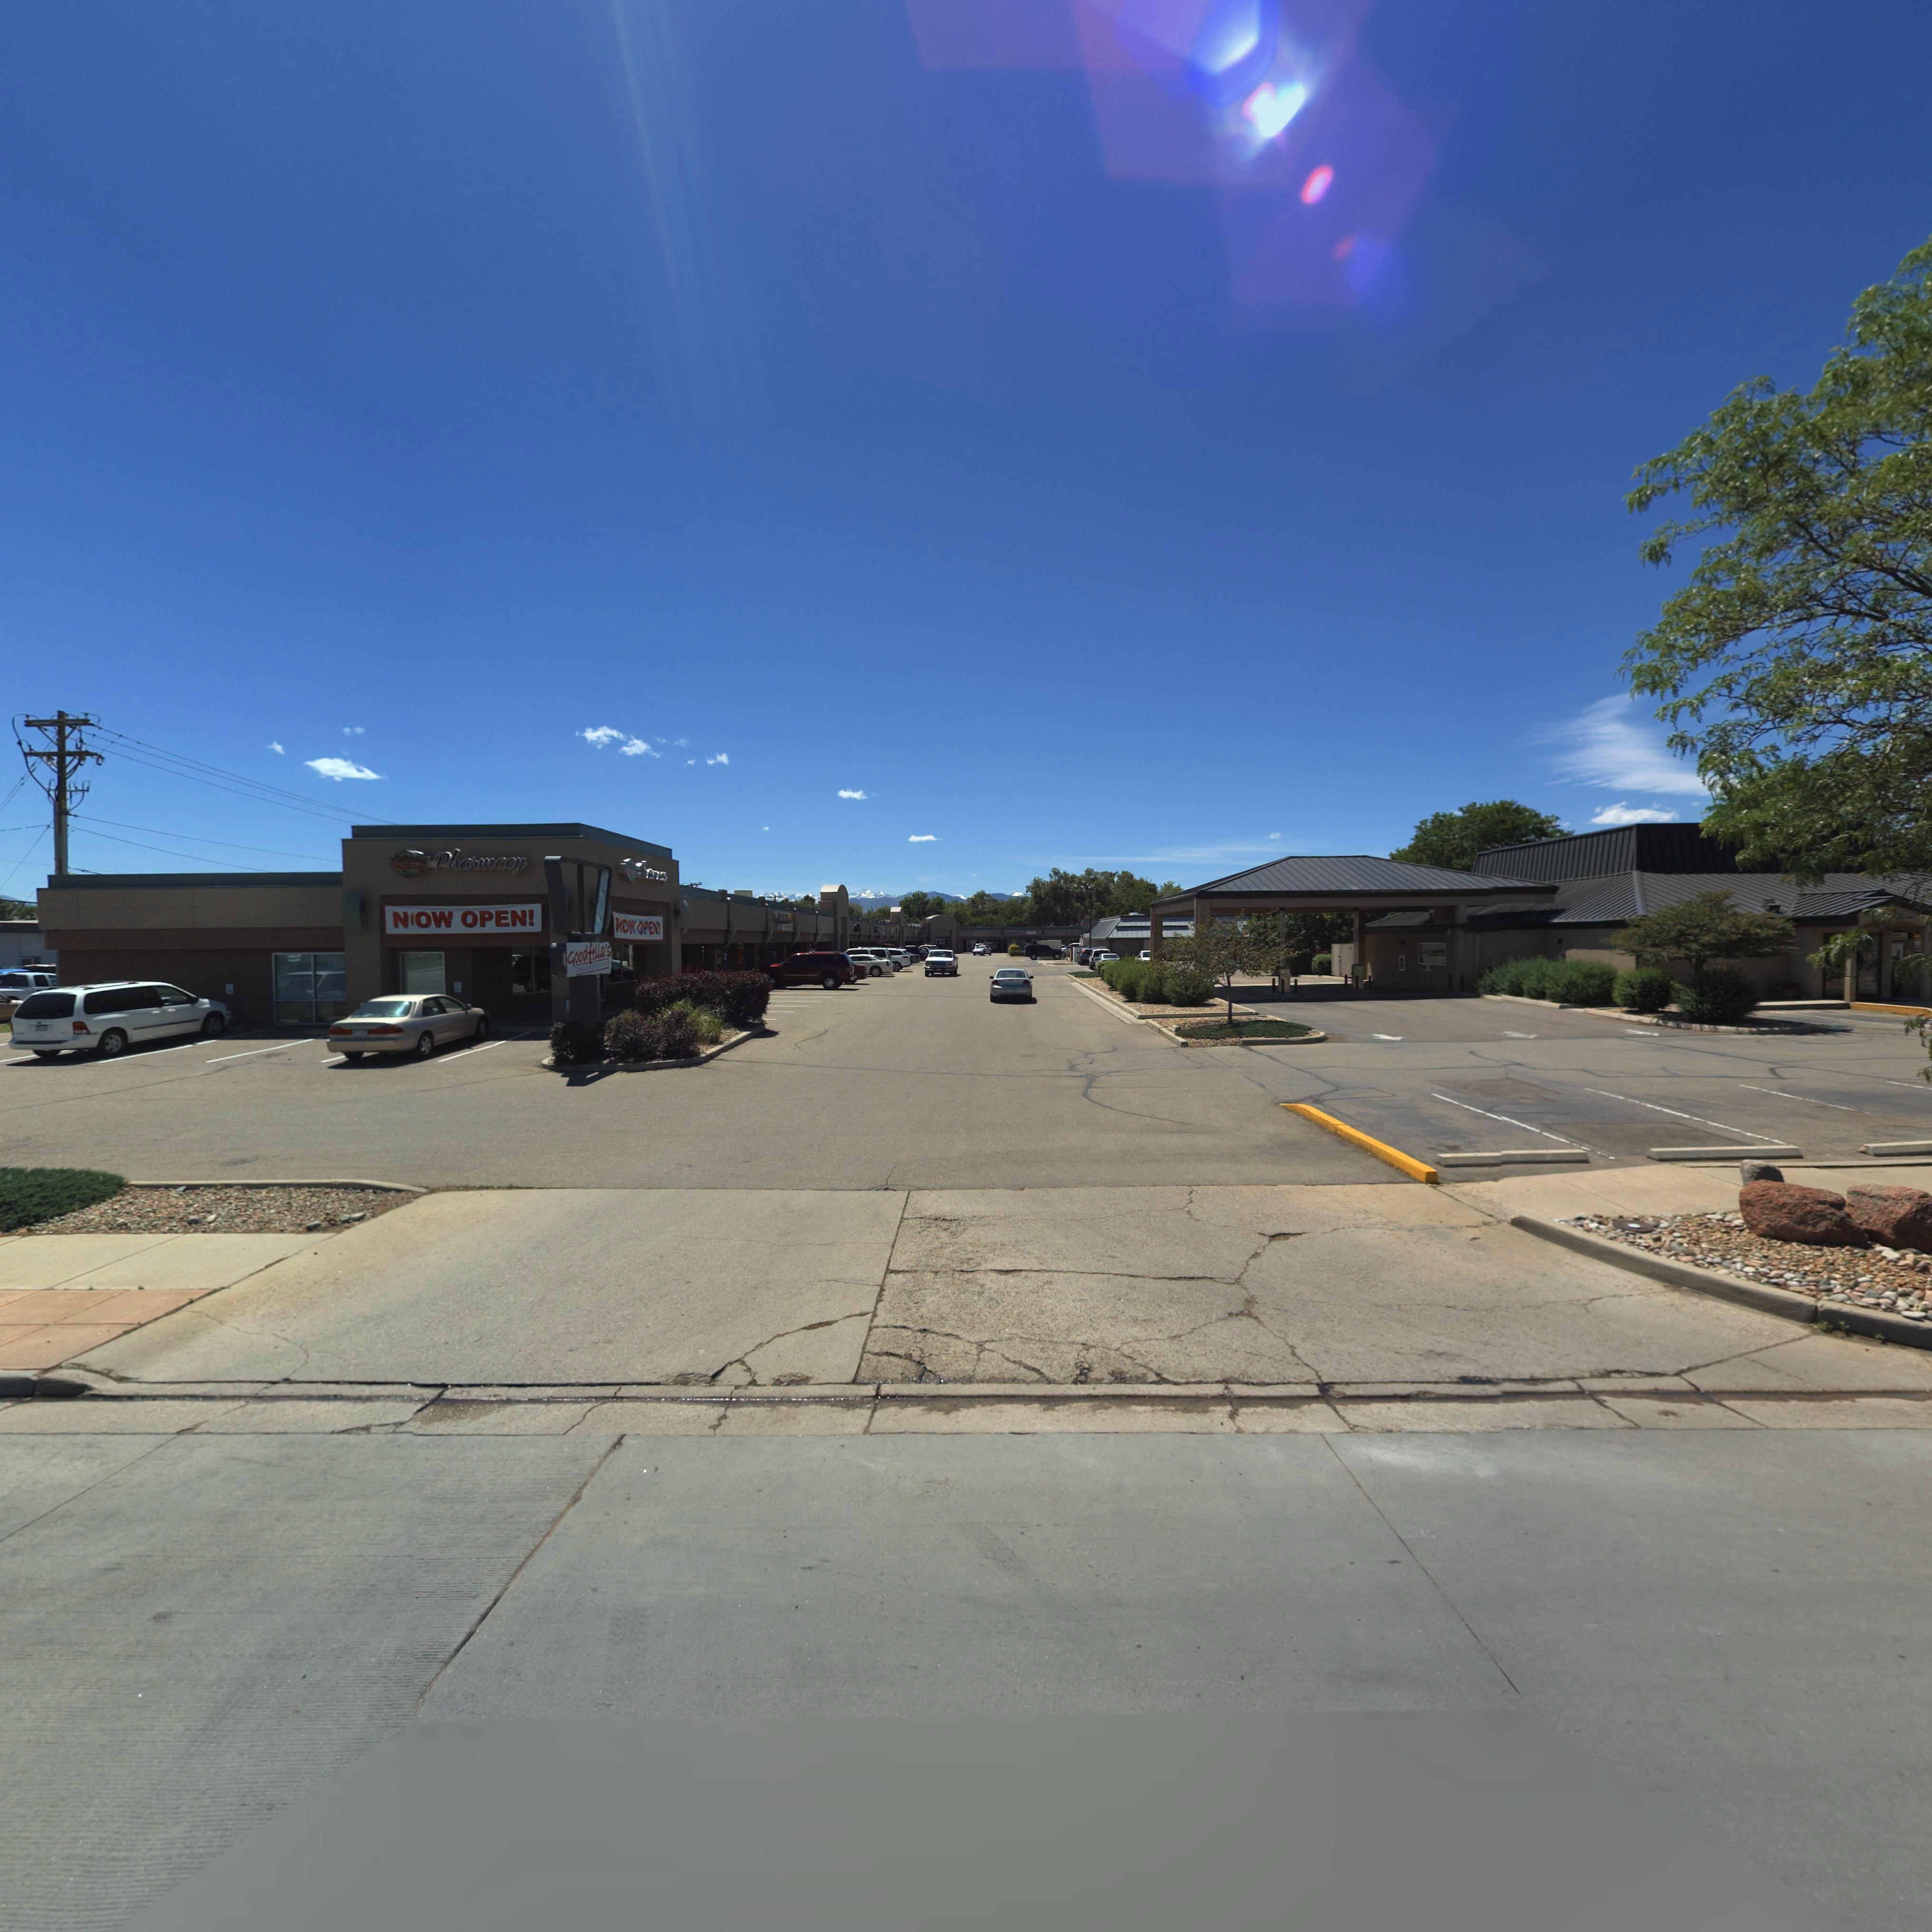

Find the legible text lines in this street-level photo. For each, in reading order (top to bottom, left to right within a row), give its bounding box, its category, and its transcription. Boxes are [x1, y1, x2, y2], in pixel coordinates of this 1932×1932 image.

[433, 847, 528, 877] BusinessName: Pha*macy
[638, 860, 668, 888] BusinessName: P*******
[567, 942, 611, 968] BusinessName: Goodfellas
[575, 959, 609, 974] BusinessName: **s******* * B*****